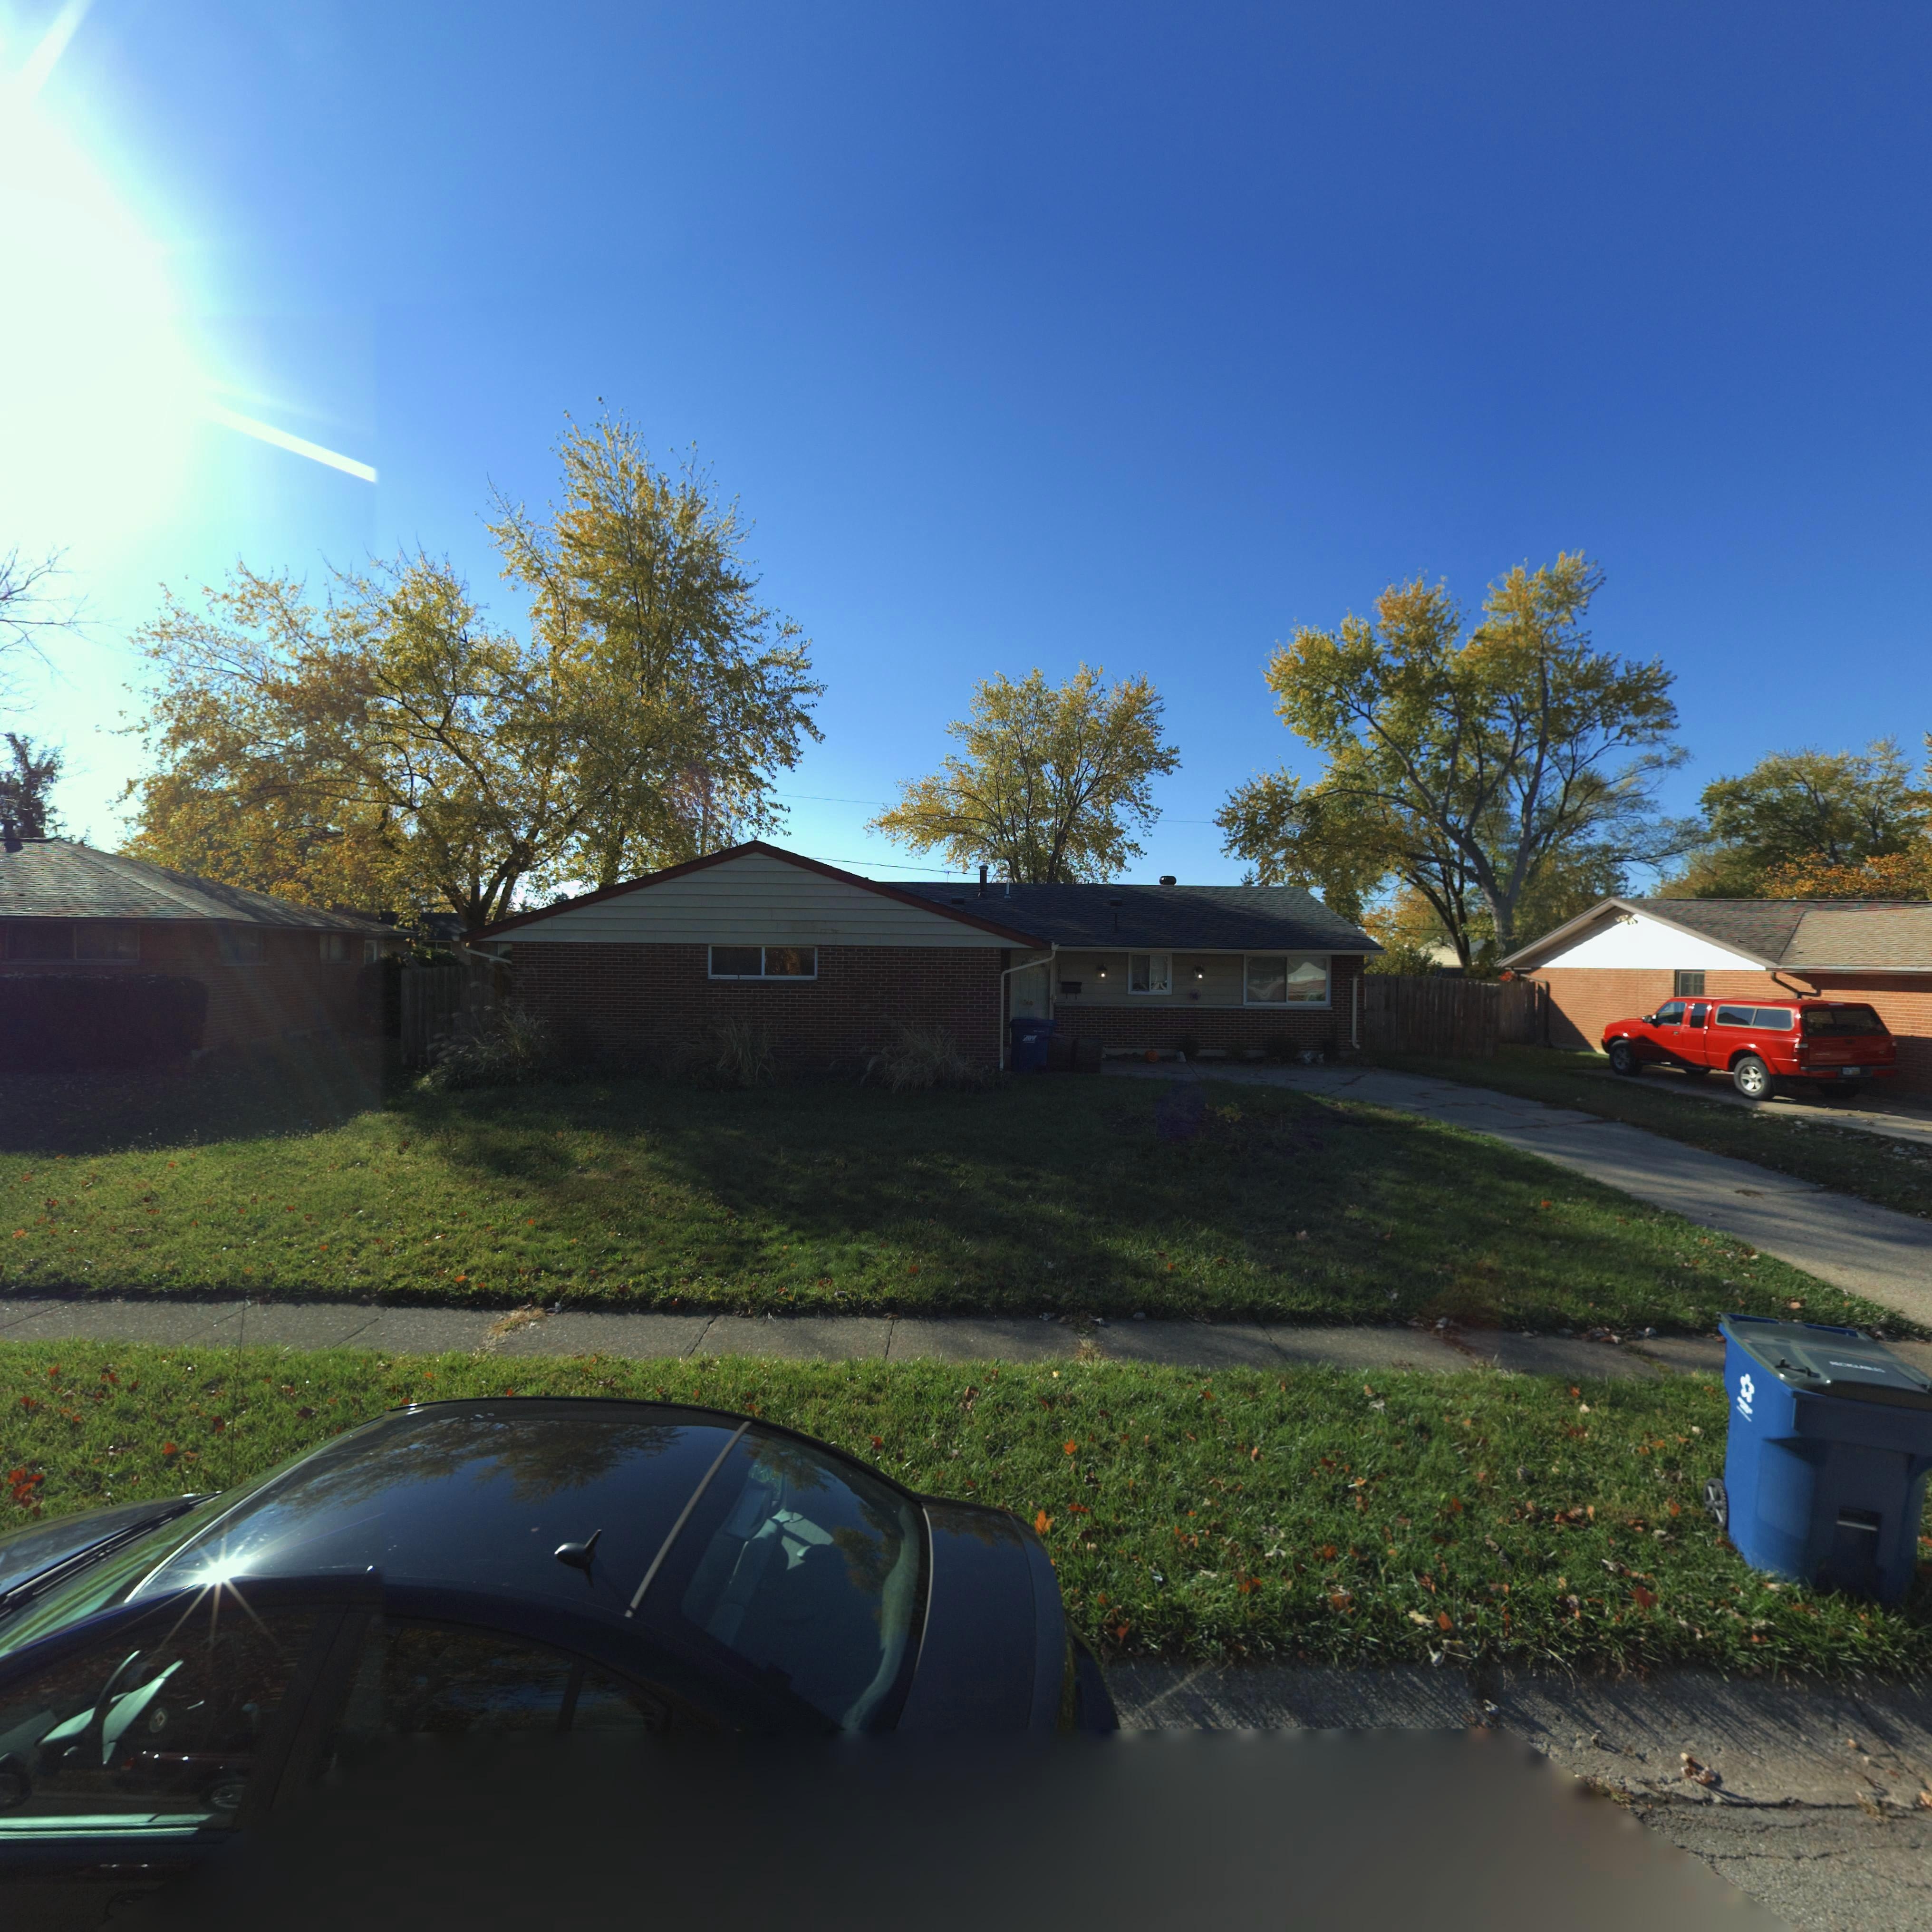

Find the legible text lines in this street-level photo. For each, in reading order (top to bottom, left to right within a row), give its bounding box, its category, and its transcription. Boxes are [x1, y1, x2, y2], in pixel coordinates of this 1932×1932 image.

[1057, 963, 1061, 984] StreetNumber: 7866